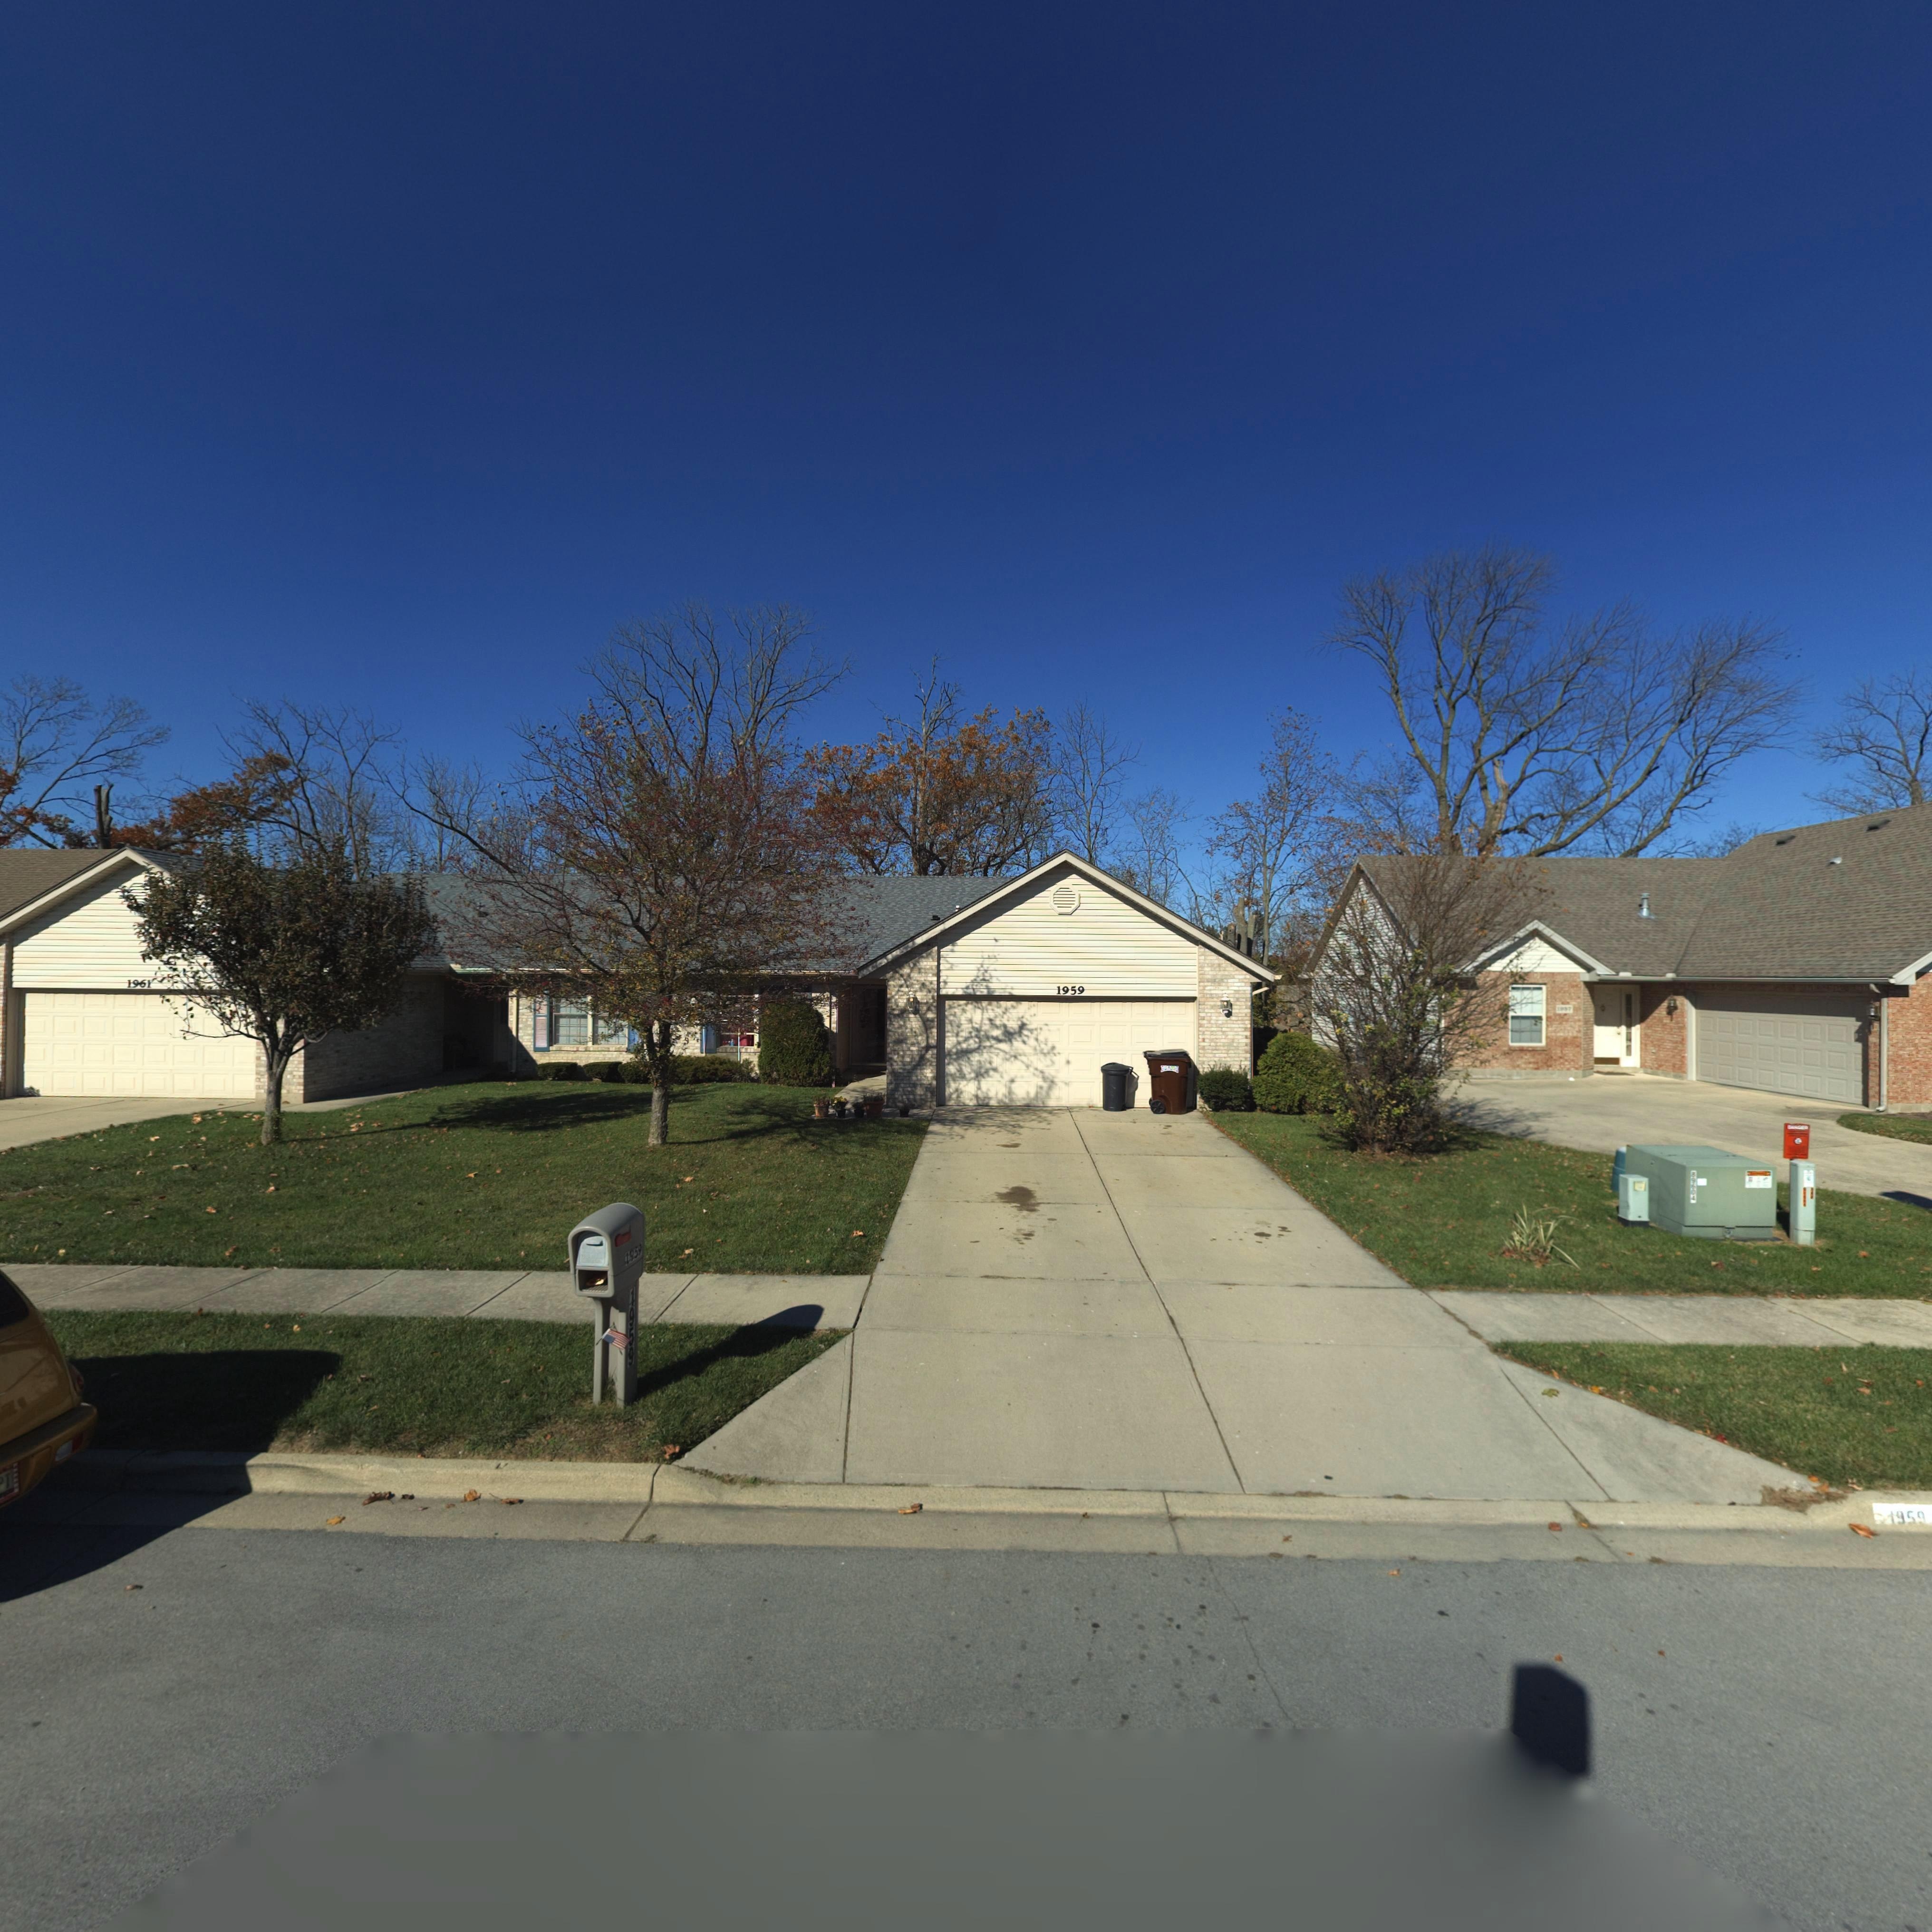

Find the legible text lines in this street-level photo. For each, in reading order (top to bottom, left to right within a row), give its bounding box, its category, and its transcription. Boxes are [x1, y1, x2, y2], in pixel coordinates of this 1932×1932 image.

[126, 978, 153, 989] StreetNumber: 1961
[1055, 985, 1086, 996] StreetNumber: 1959
[624, 1241, 643, 1266] StreetNumber: 1959
[628, 1285, 637, 1367] StreetNumber: 1959
[1888, 1508, 1927, 1526] StreetNumber: 1959